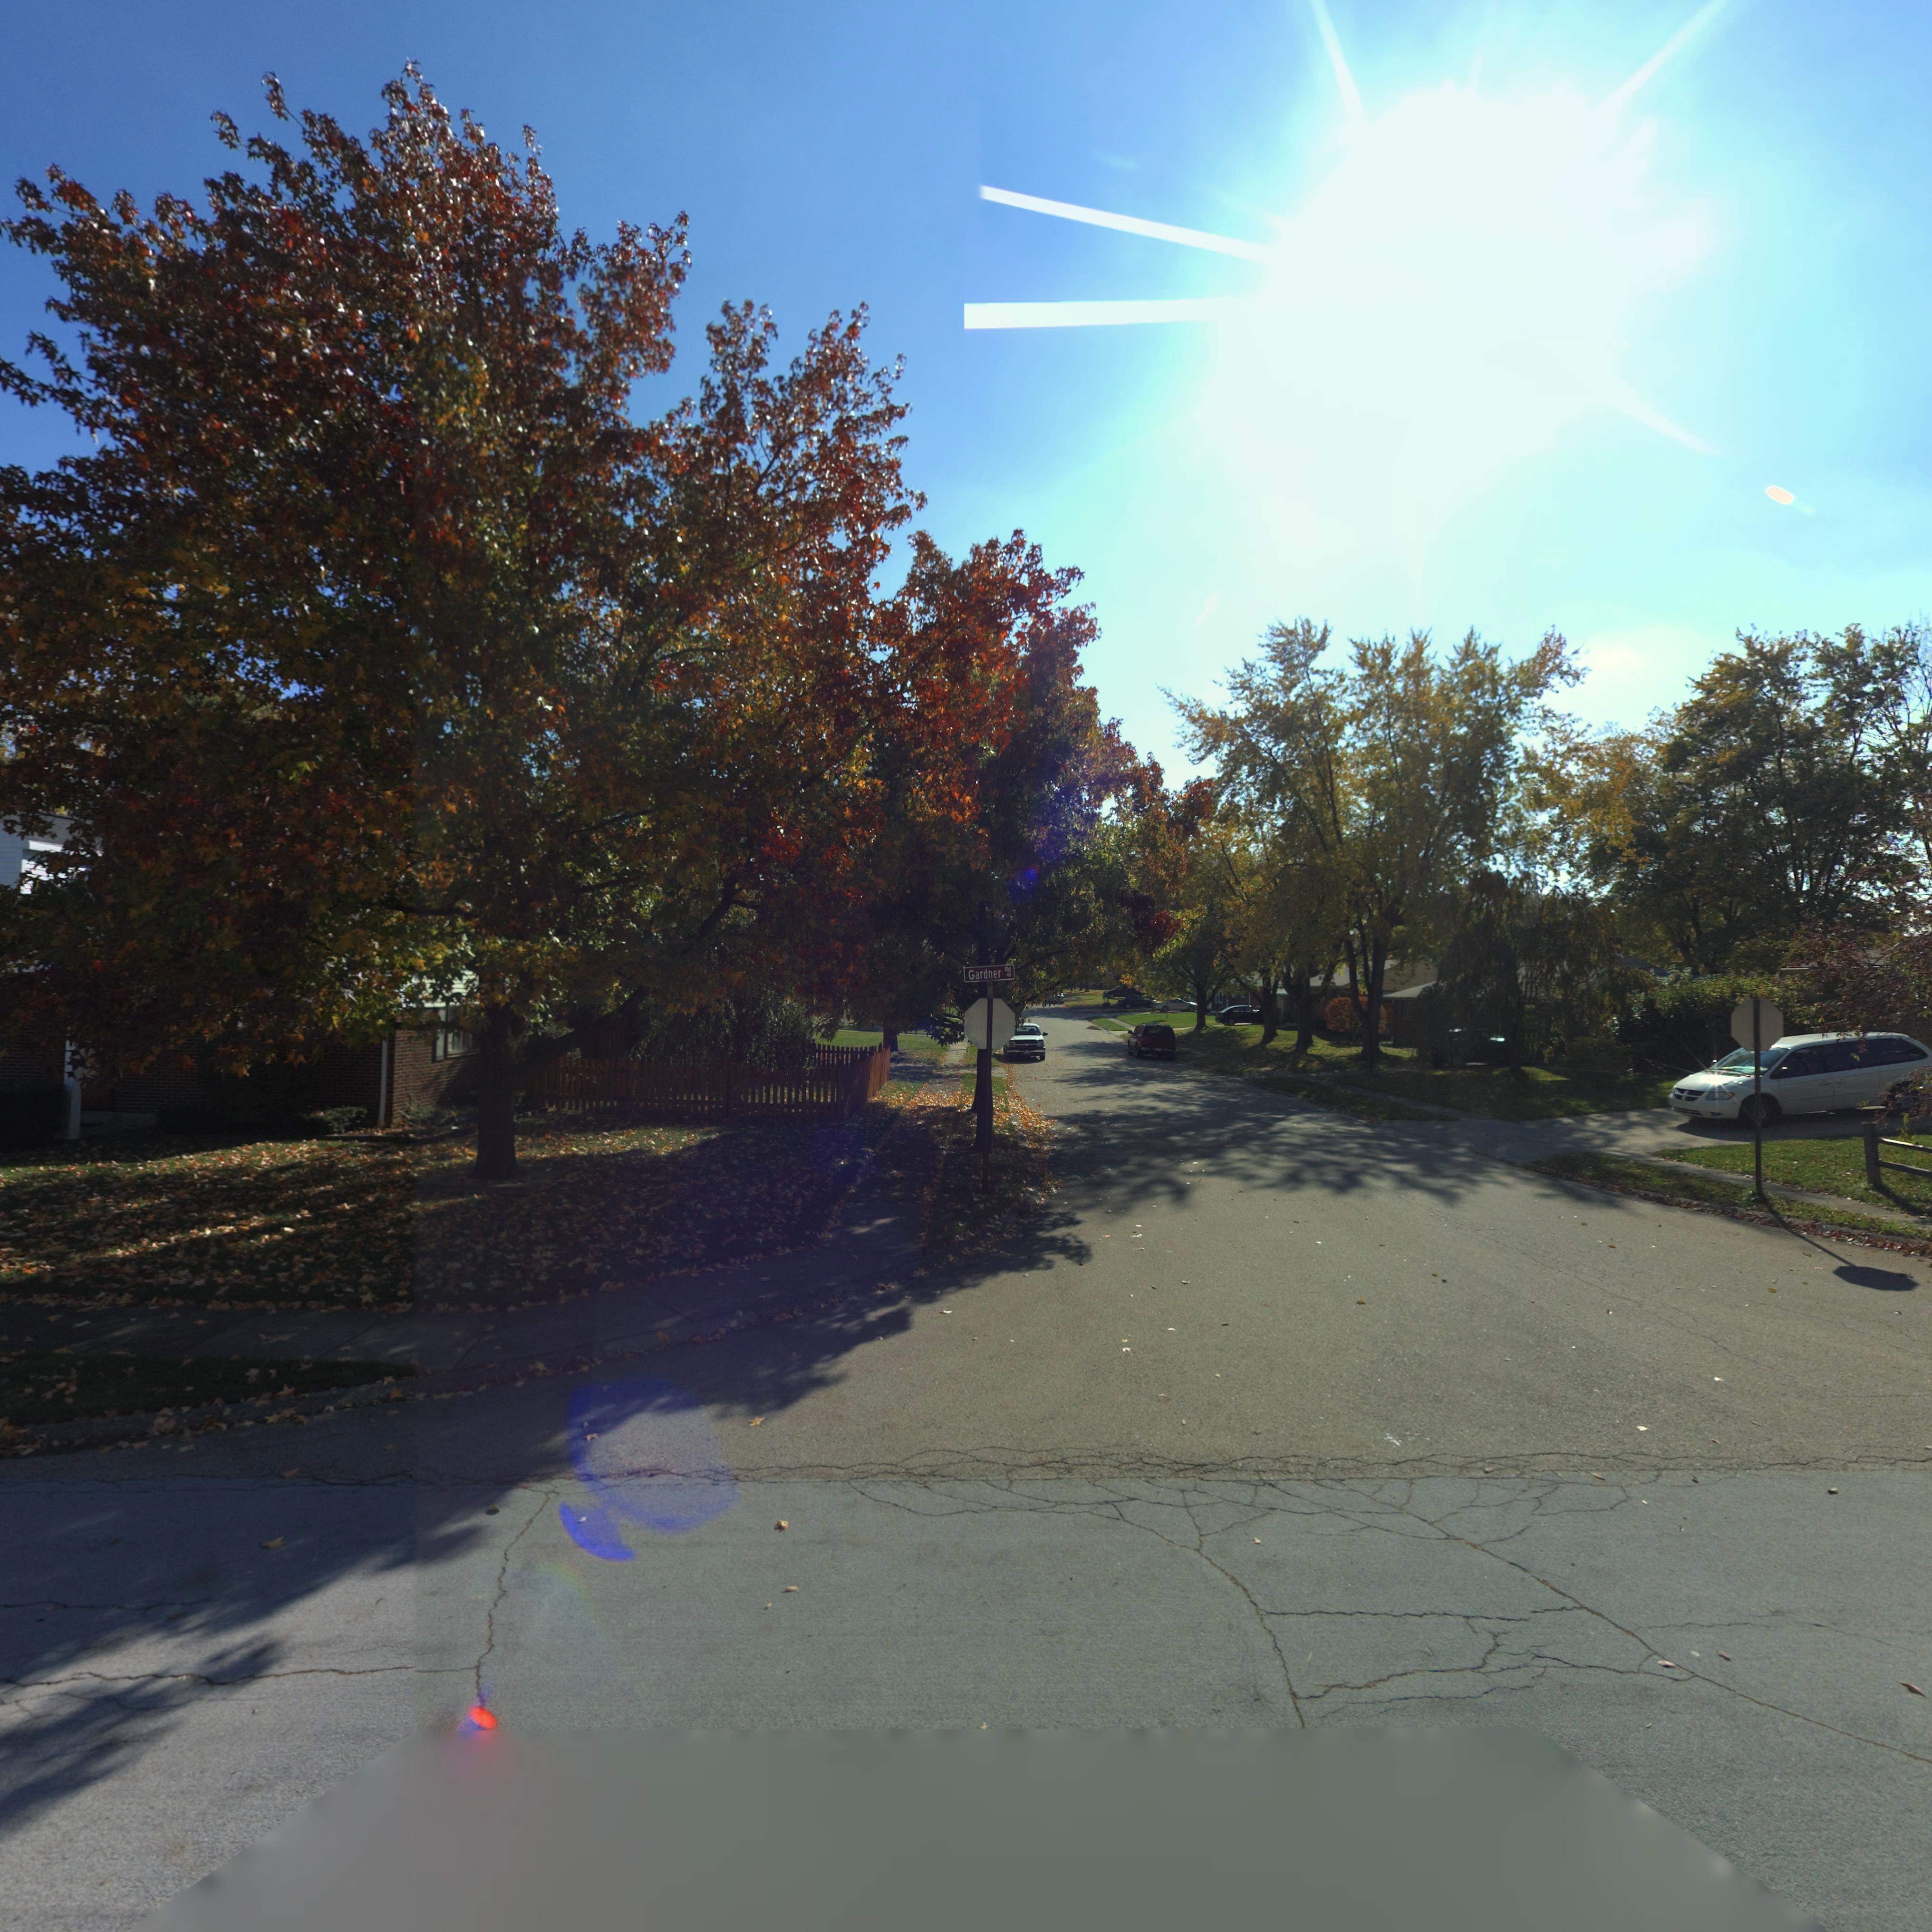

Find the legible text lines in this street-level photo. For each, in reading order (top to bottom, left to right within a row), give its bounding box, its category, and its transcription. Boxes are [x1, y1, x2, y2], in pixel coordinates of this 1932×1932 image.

[968, 966, 1011, 980] StreetName: Gardner Rd